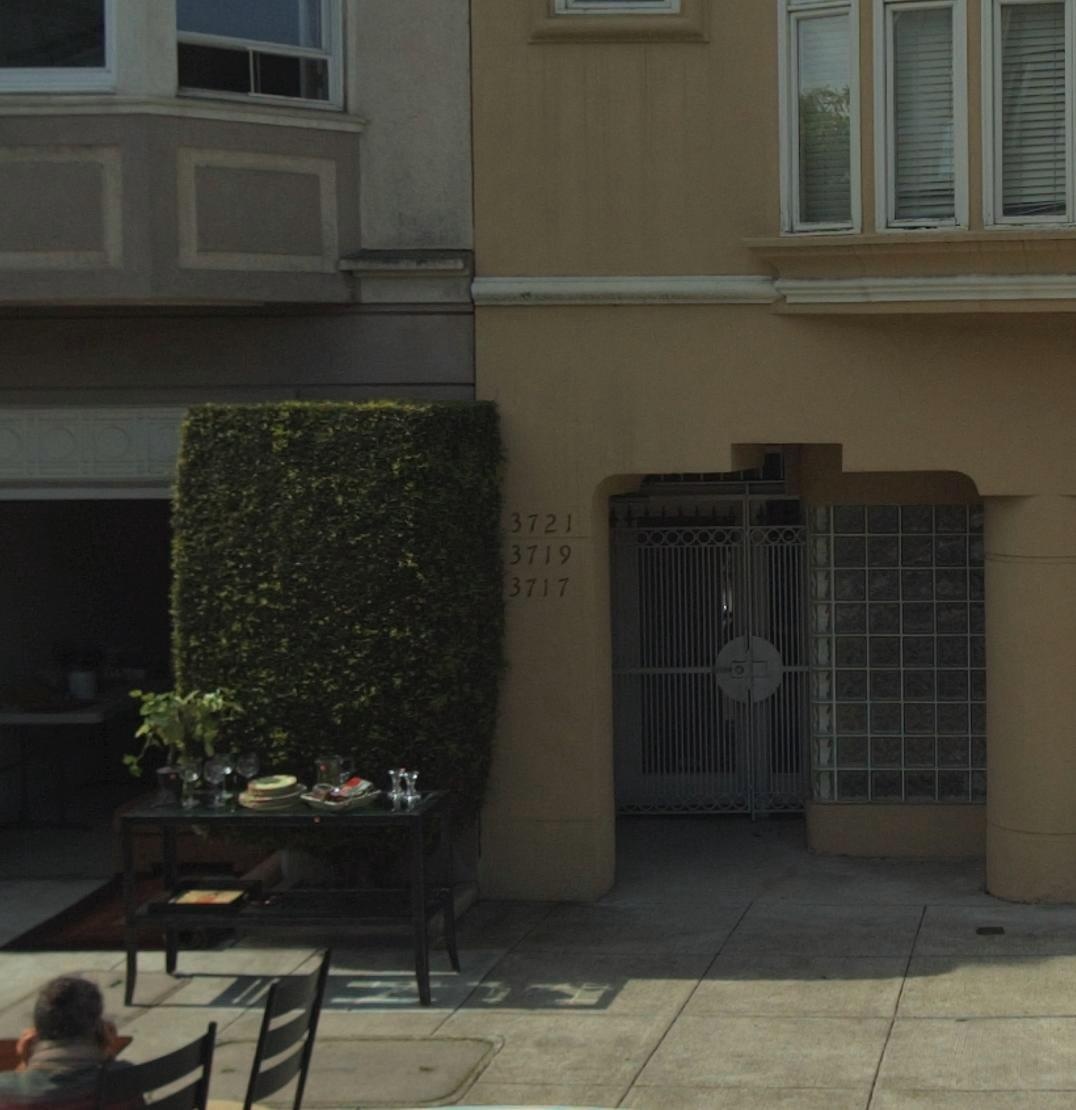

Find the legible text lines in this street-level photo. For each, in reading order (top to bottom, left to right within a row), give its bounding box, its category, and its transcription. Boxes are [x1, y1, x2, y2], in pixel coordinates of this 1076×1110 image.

[509, 510, 574, 536] StreetNumber: 3721
[506, 542, 574, 568] StreetNumber: 3719
[507, 574, 573, 600] StreetNumber: 3717